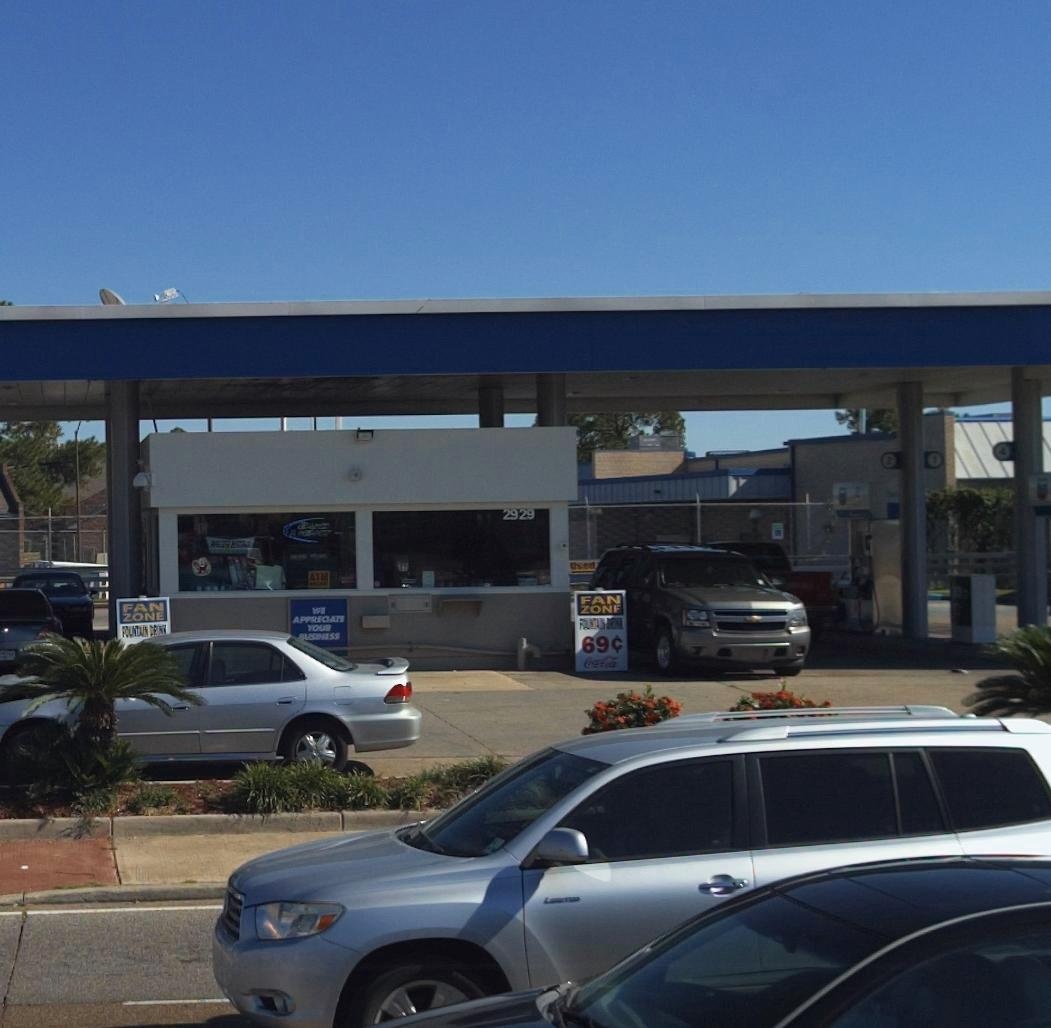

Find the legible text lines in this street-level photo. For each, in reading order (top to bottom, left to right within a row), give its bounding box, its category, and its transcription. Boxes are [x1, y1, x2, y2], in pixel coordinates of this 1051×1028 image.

[996, 444, 1010, 459] None: 4
[883, 454, 897, 468] None: 2
[931, 454, 939, 466] None: 1
[501, 506, 537, 522] StreetNumber: 2929
[568, 559, 597, 573] None: Used
[307, 569, 330, 583] None: ATM
[579, 593, 623, 606] None: FAN
[121, 600, 166, 614] None: FAN
[578, 602, 624, 616] None: ZONE
[121, 610, 167, 624] None: ZONE
[288, 611, 348, 627] None: APP*ECIAT*
[304, 622, 334, 634] None: YOUR
[579, 633, 612, 657] None: 69